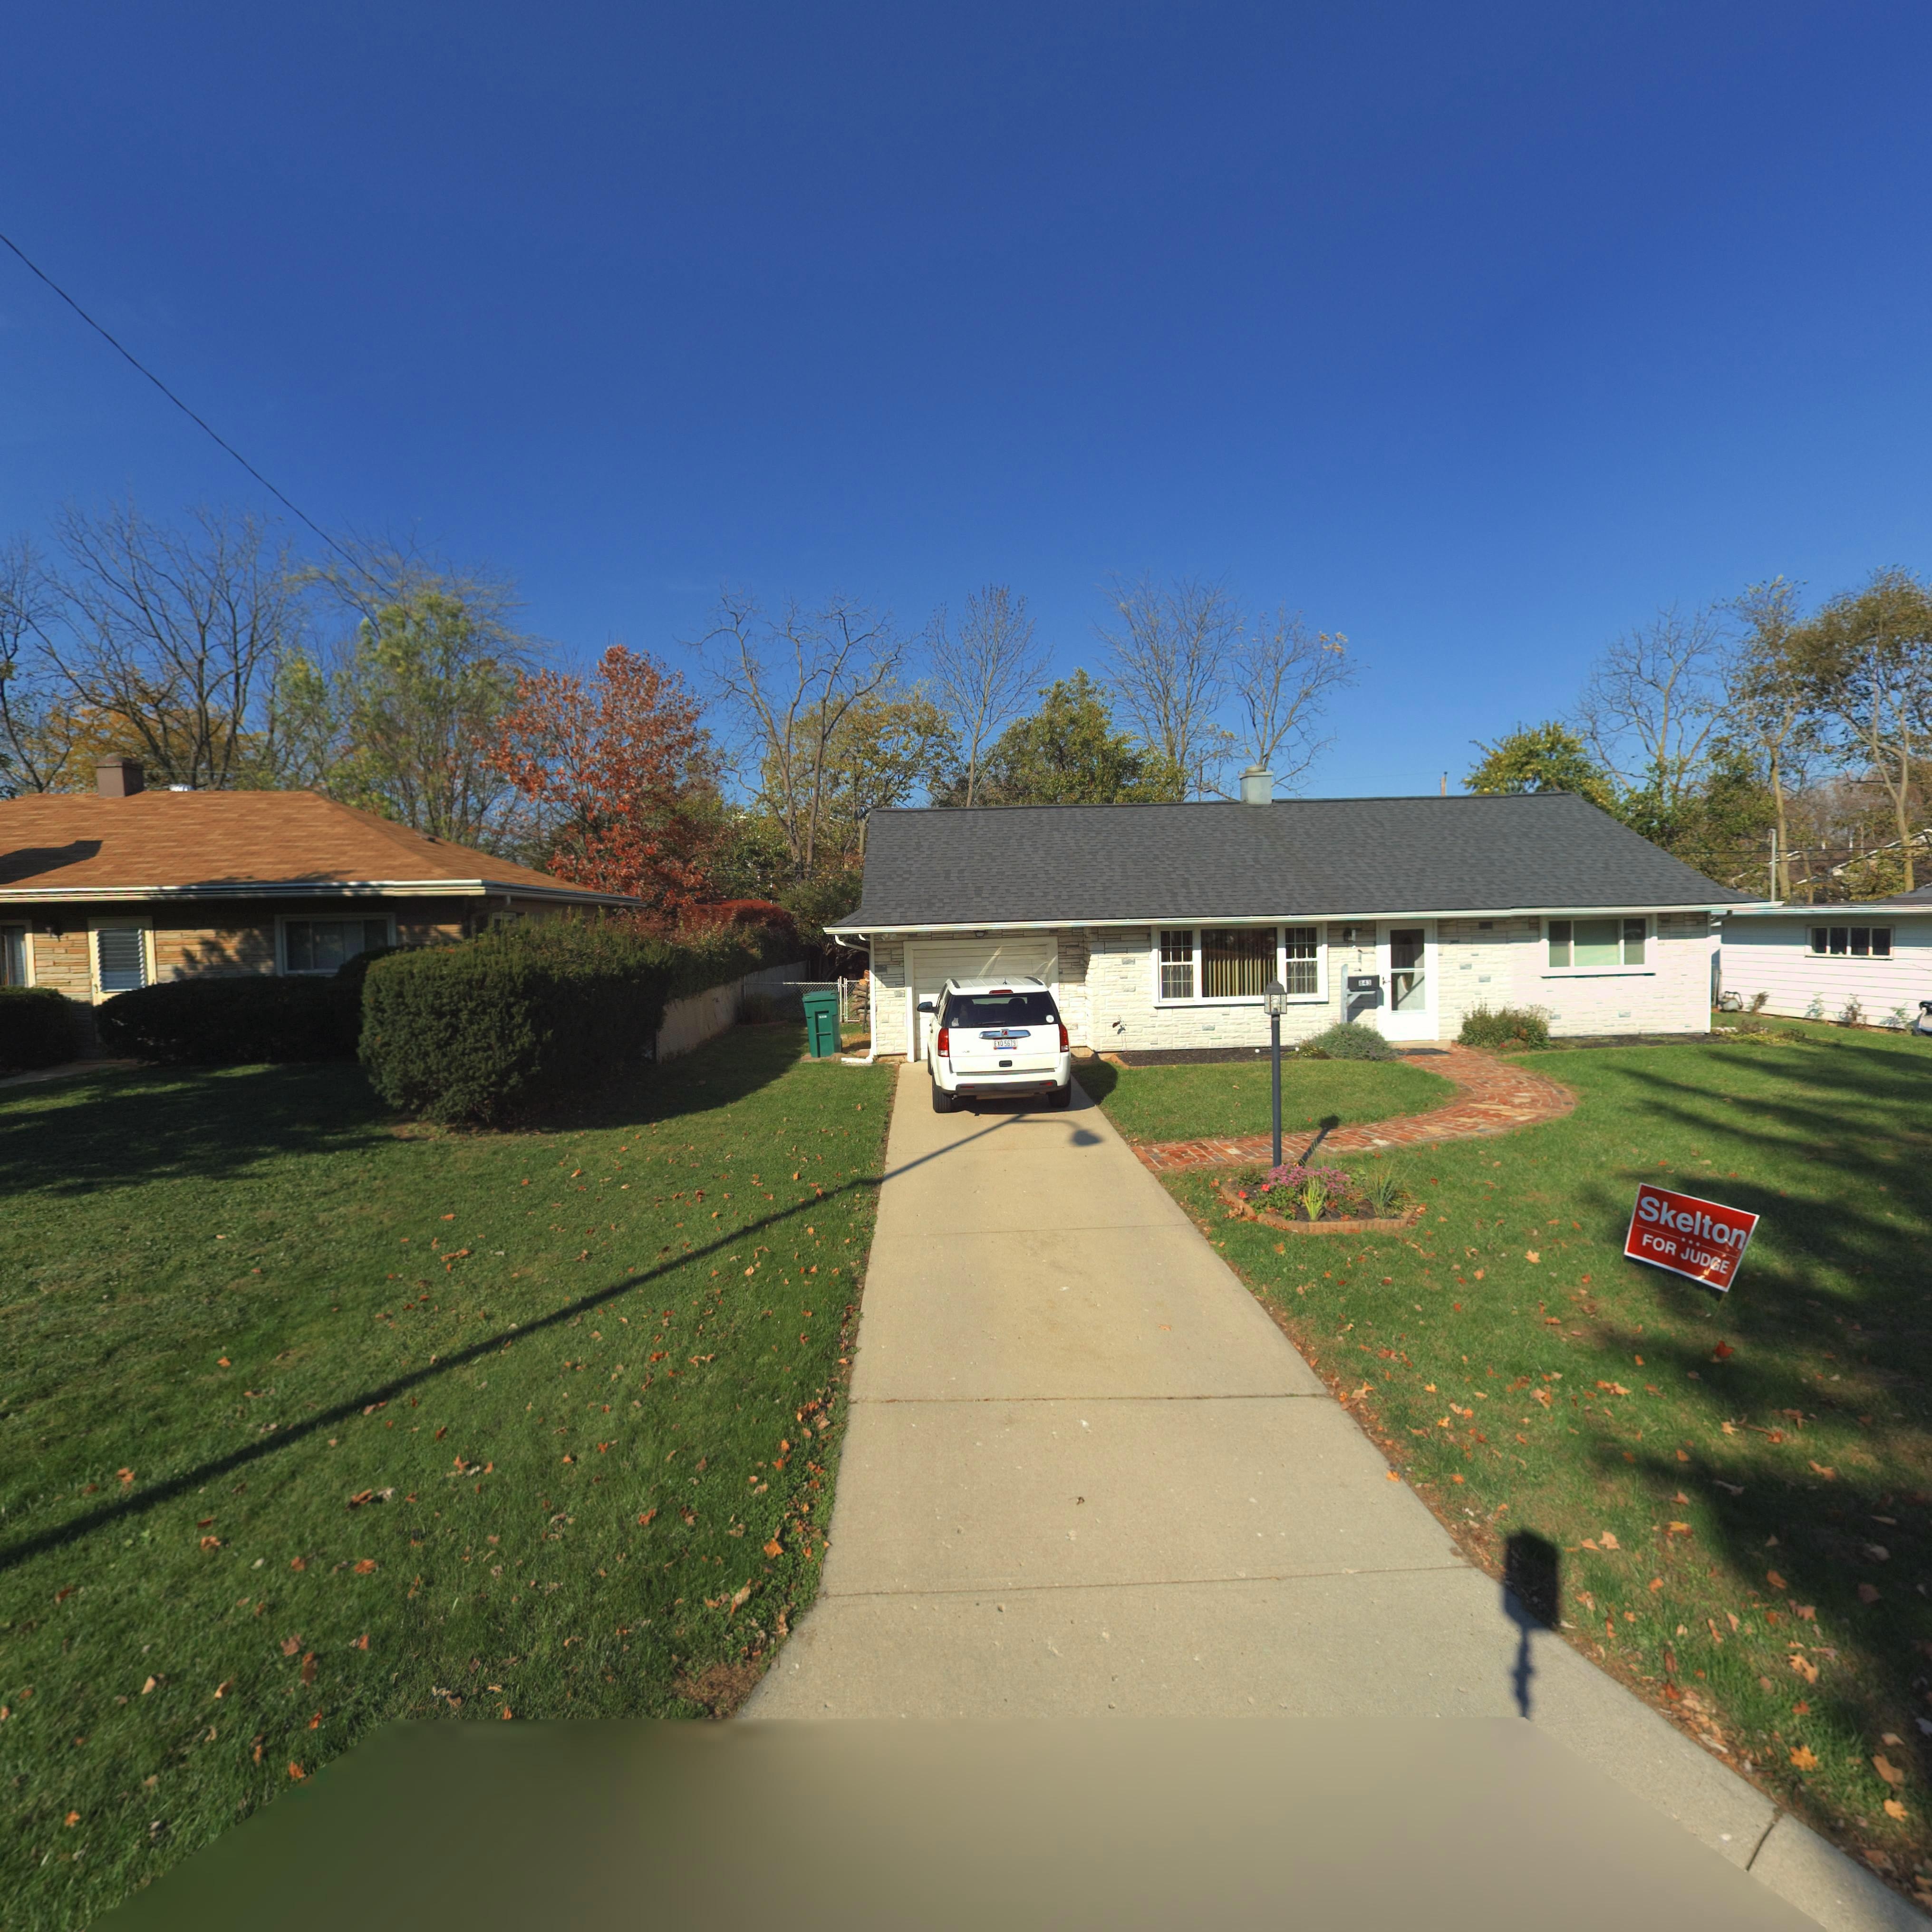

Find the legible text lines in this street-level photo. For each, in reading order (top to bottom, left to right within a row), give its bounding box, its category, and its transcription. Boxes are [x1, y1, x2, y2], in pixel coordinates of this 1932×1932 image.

[1358, 980, 1371, 985] StreetNumber: 843
[994, 1039, 1015, 1047] None: EXO 5679
[1635, 1193, 1750, 1255] None: Skelton
[1641, 1231, 1731, 1276] None: FOR JUDGE